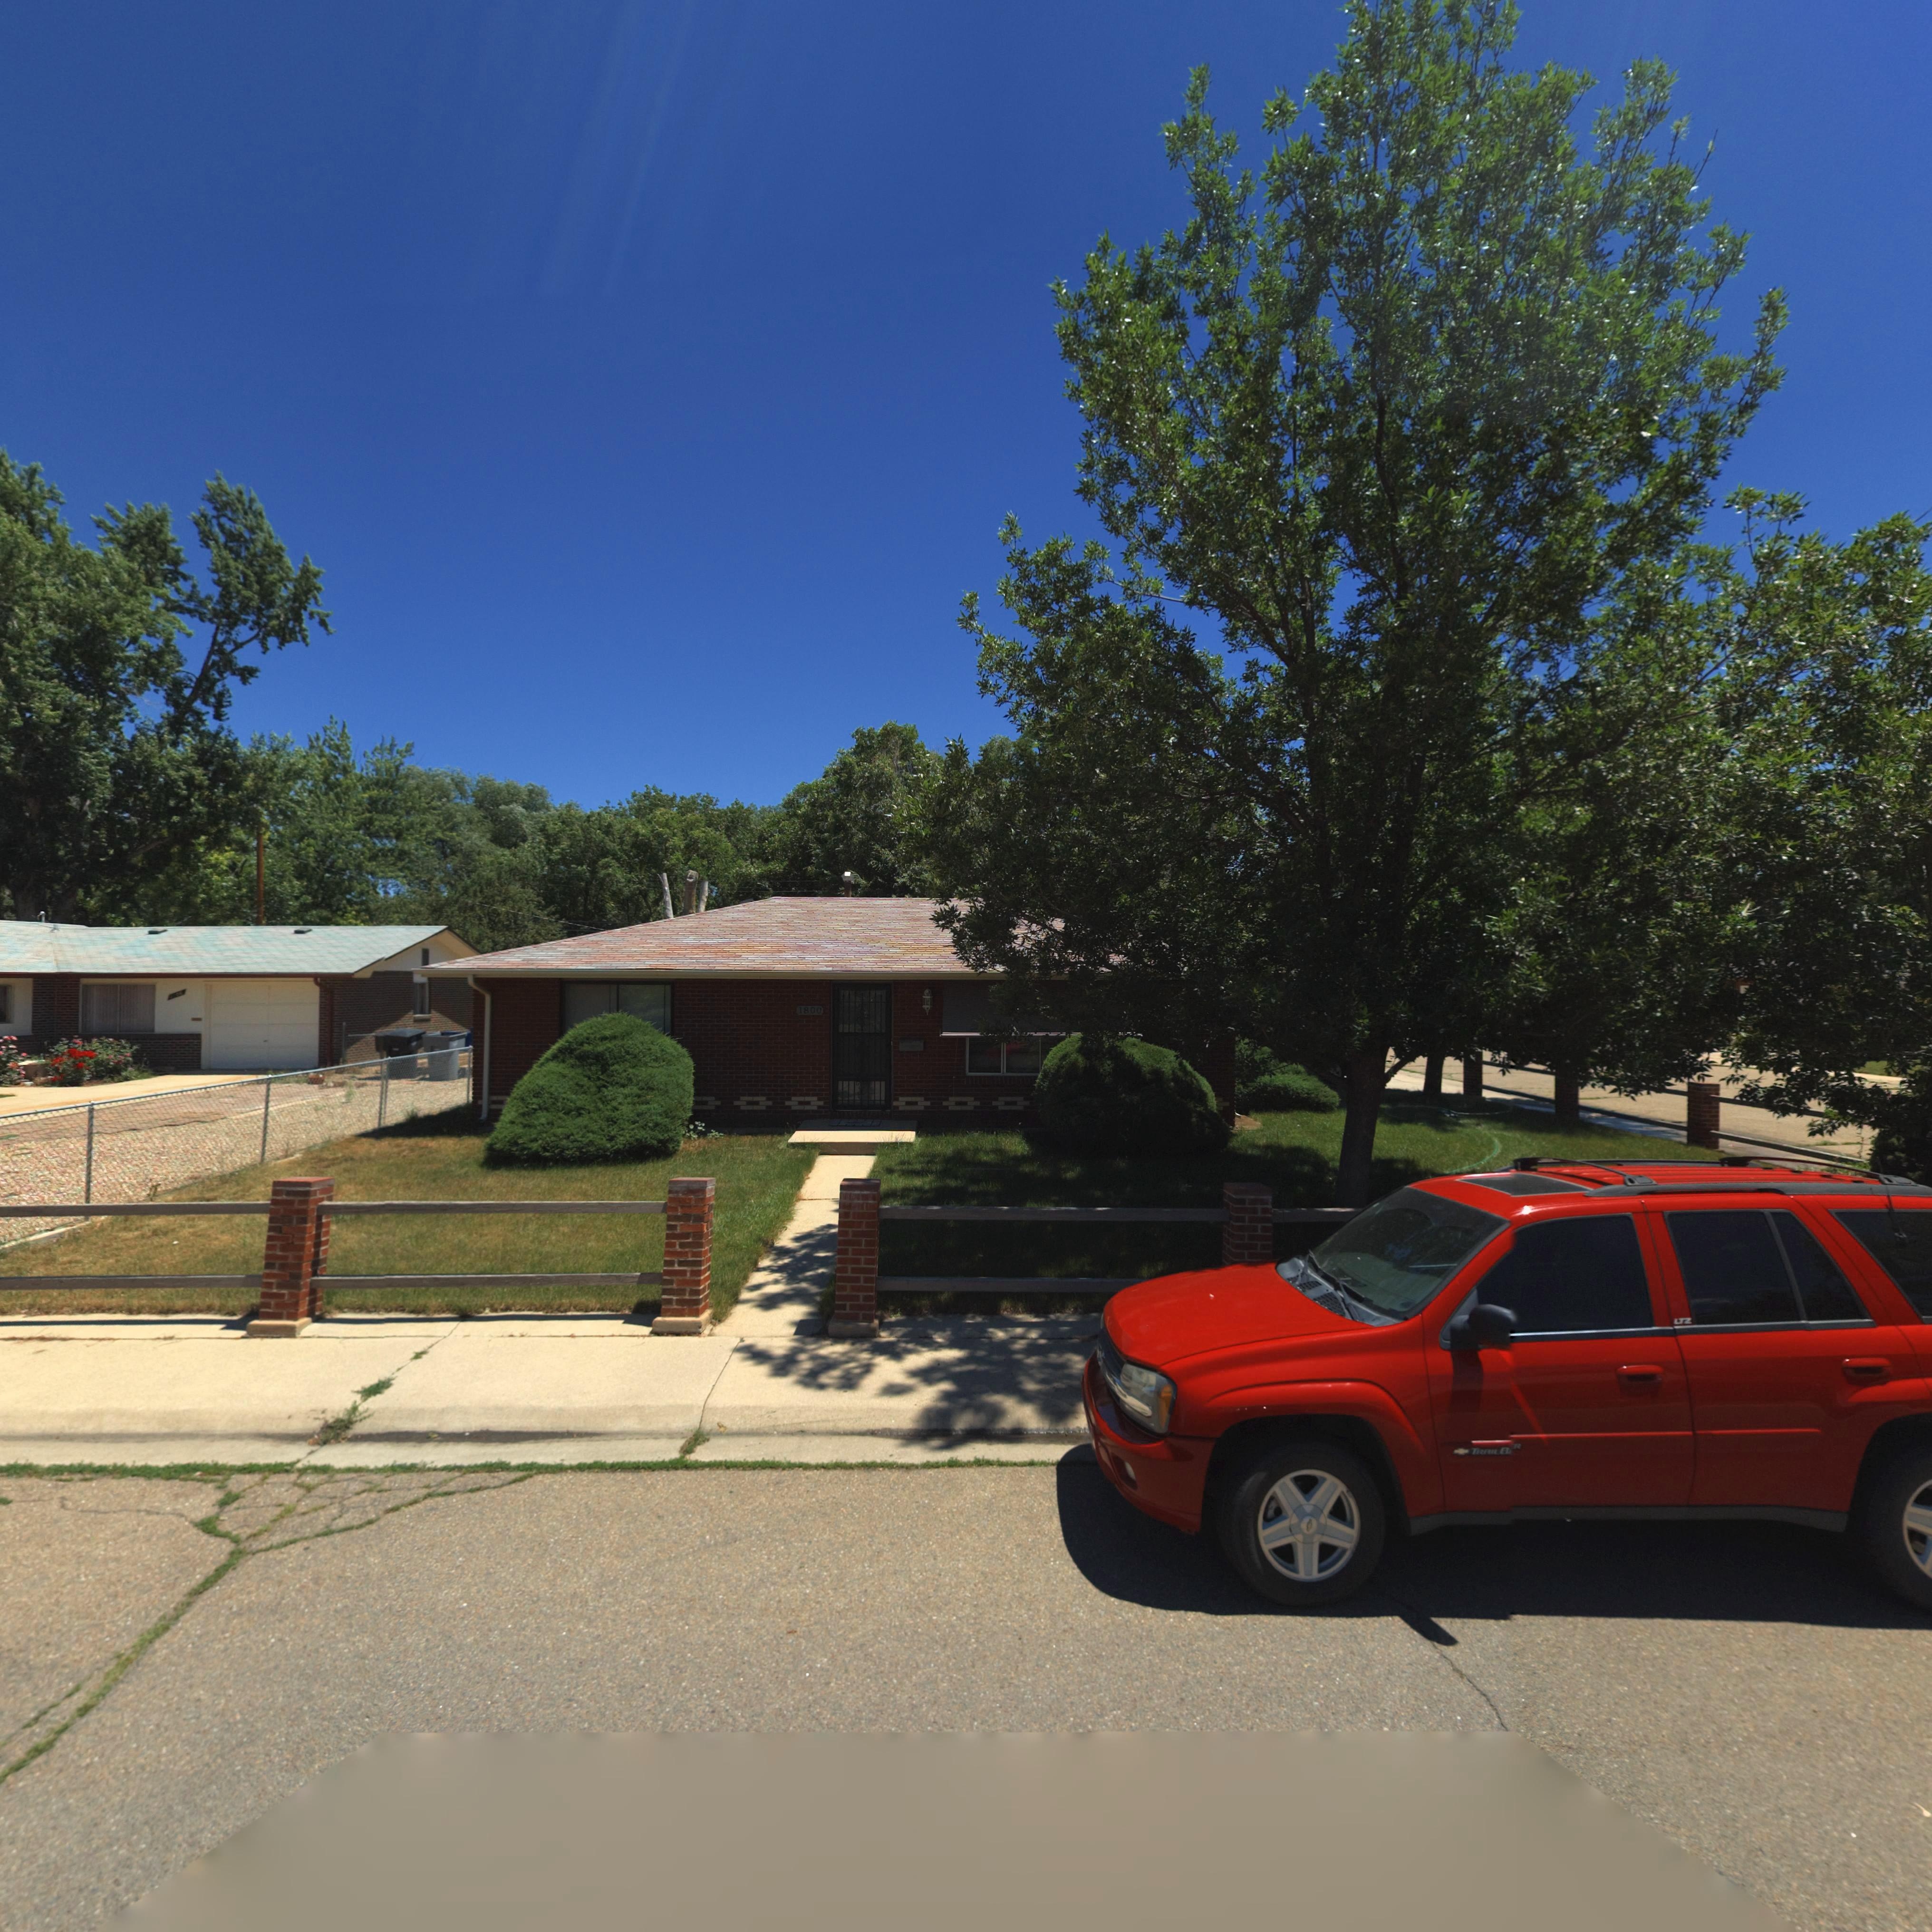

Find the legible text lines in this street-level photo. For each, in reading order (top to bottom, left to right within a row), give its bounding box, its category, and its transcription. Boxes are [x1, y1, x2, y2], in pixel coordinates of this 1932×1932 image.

[798, 1006, 821, 1014] StreetNumber: 1800